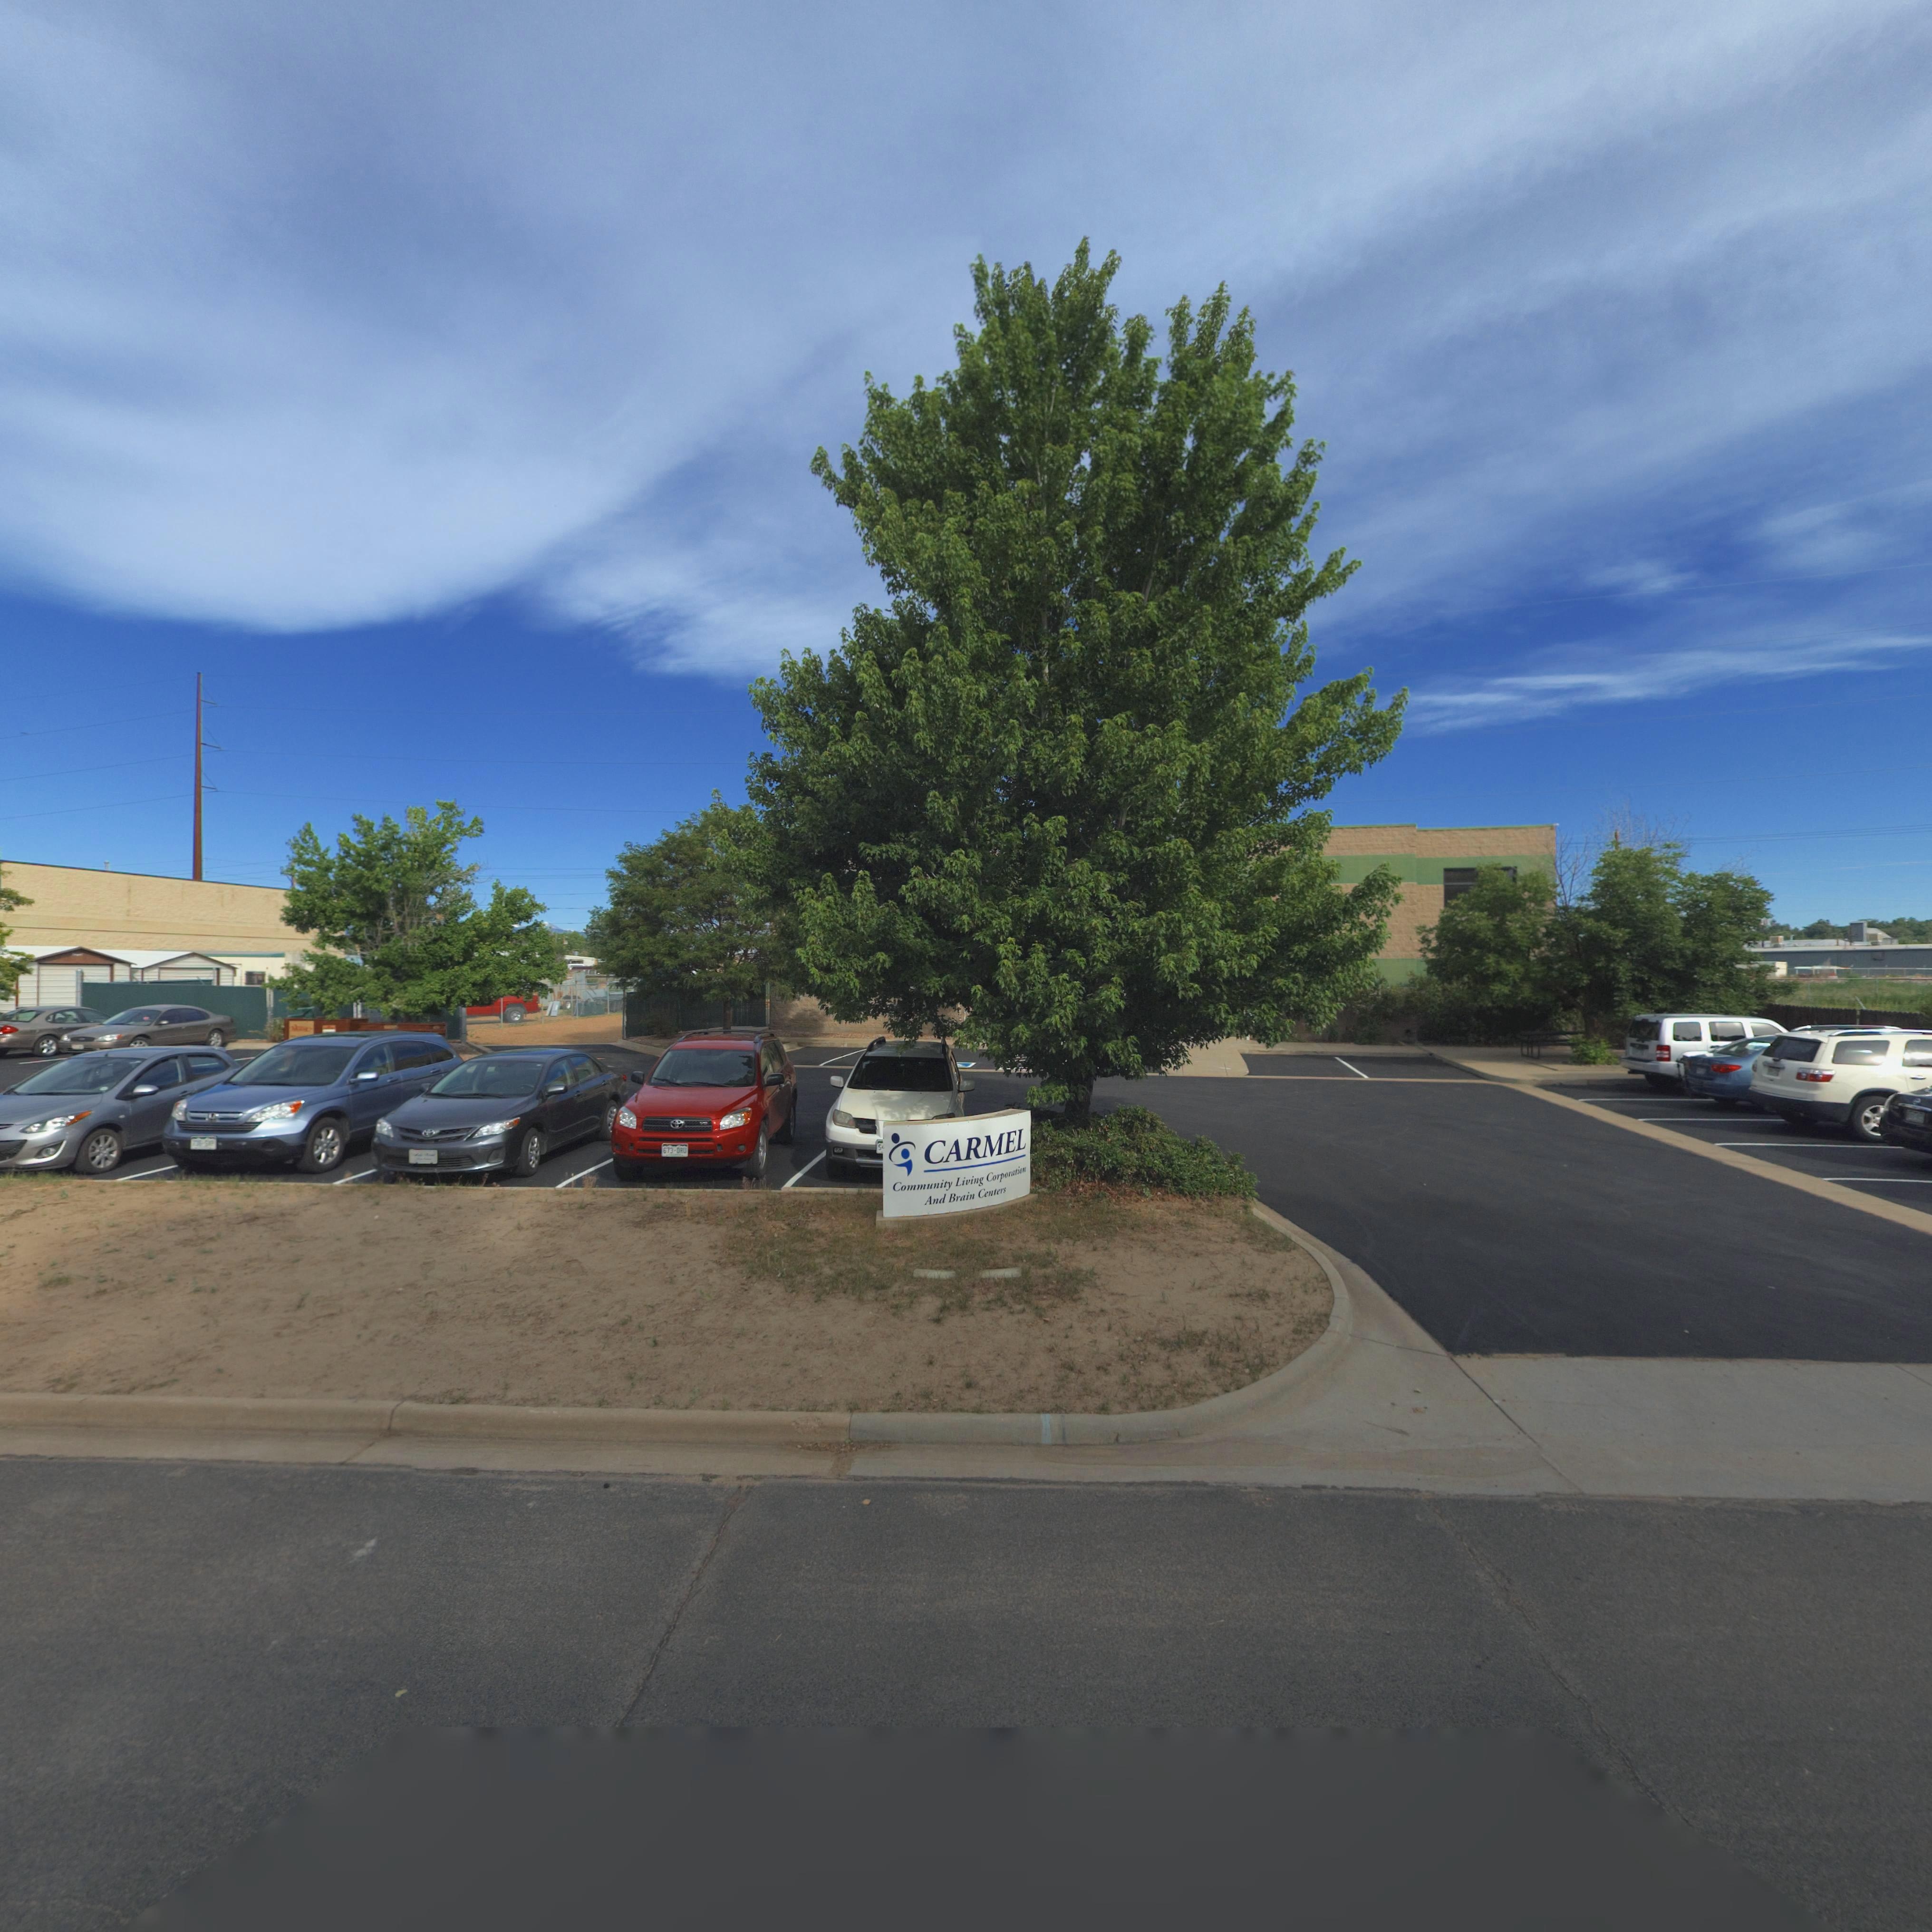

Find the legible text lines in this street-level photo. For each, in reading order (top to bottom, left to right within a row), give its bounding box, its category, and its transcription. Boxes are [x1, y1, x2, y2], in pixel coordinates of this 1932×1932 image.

[923, 1127, 1026, 1165] BusinessName: CARMEL